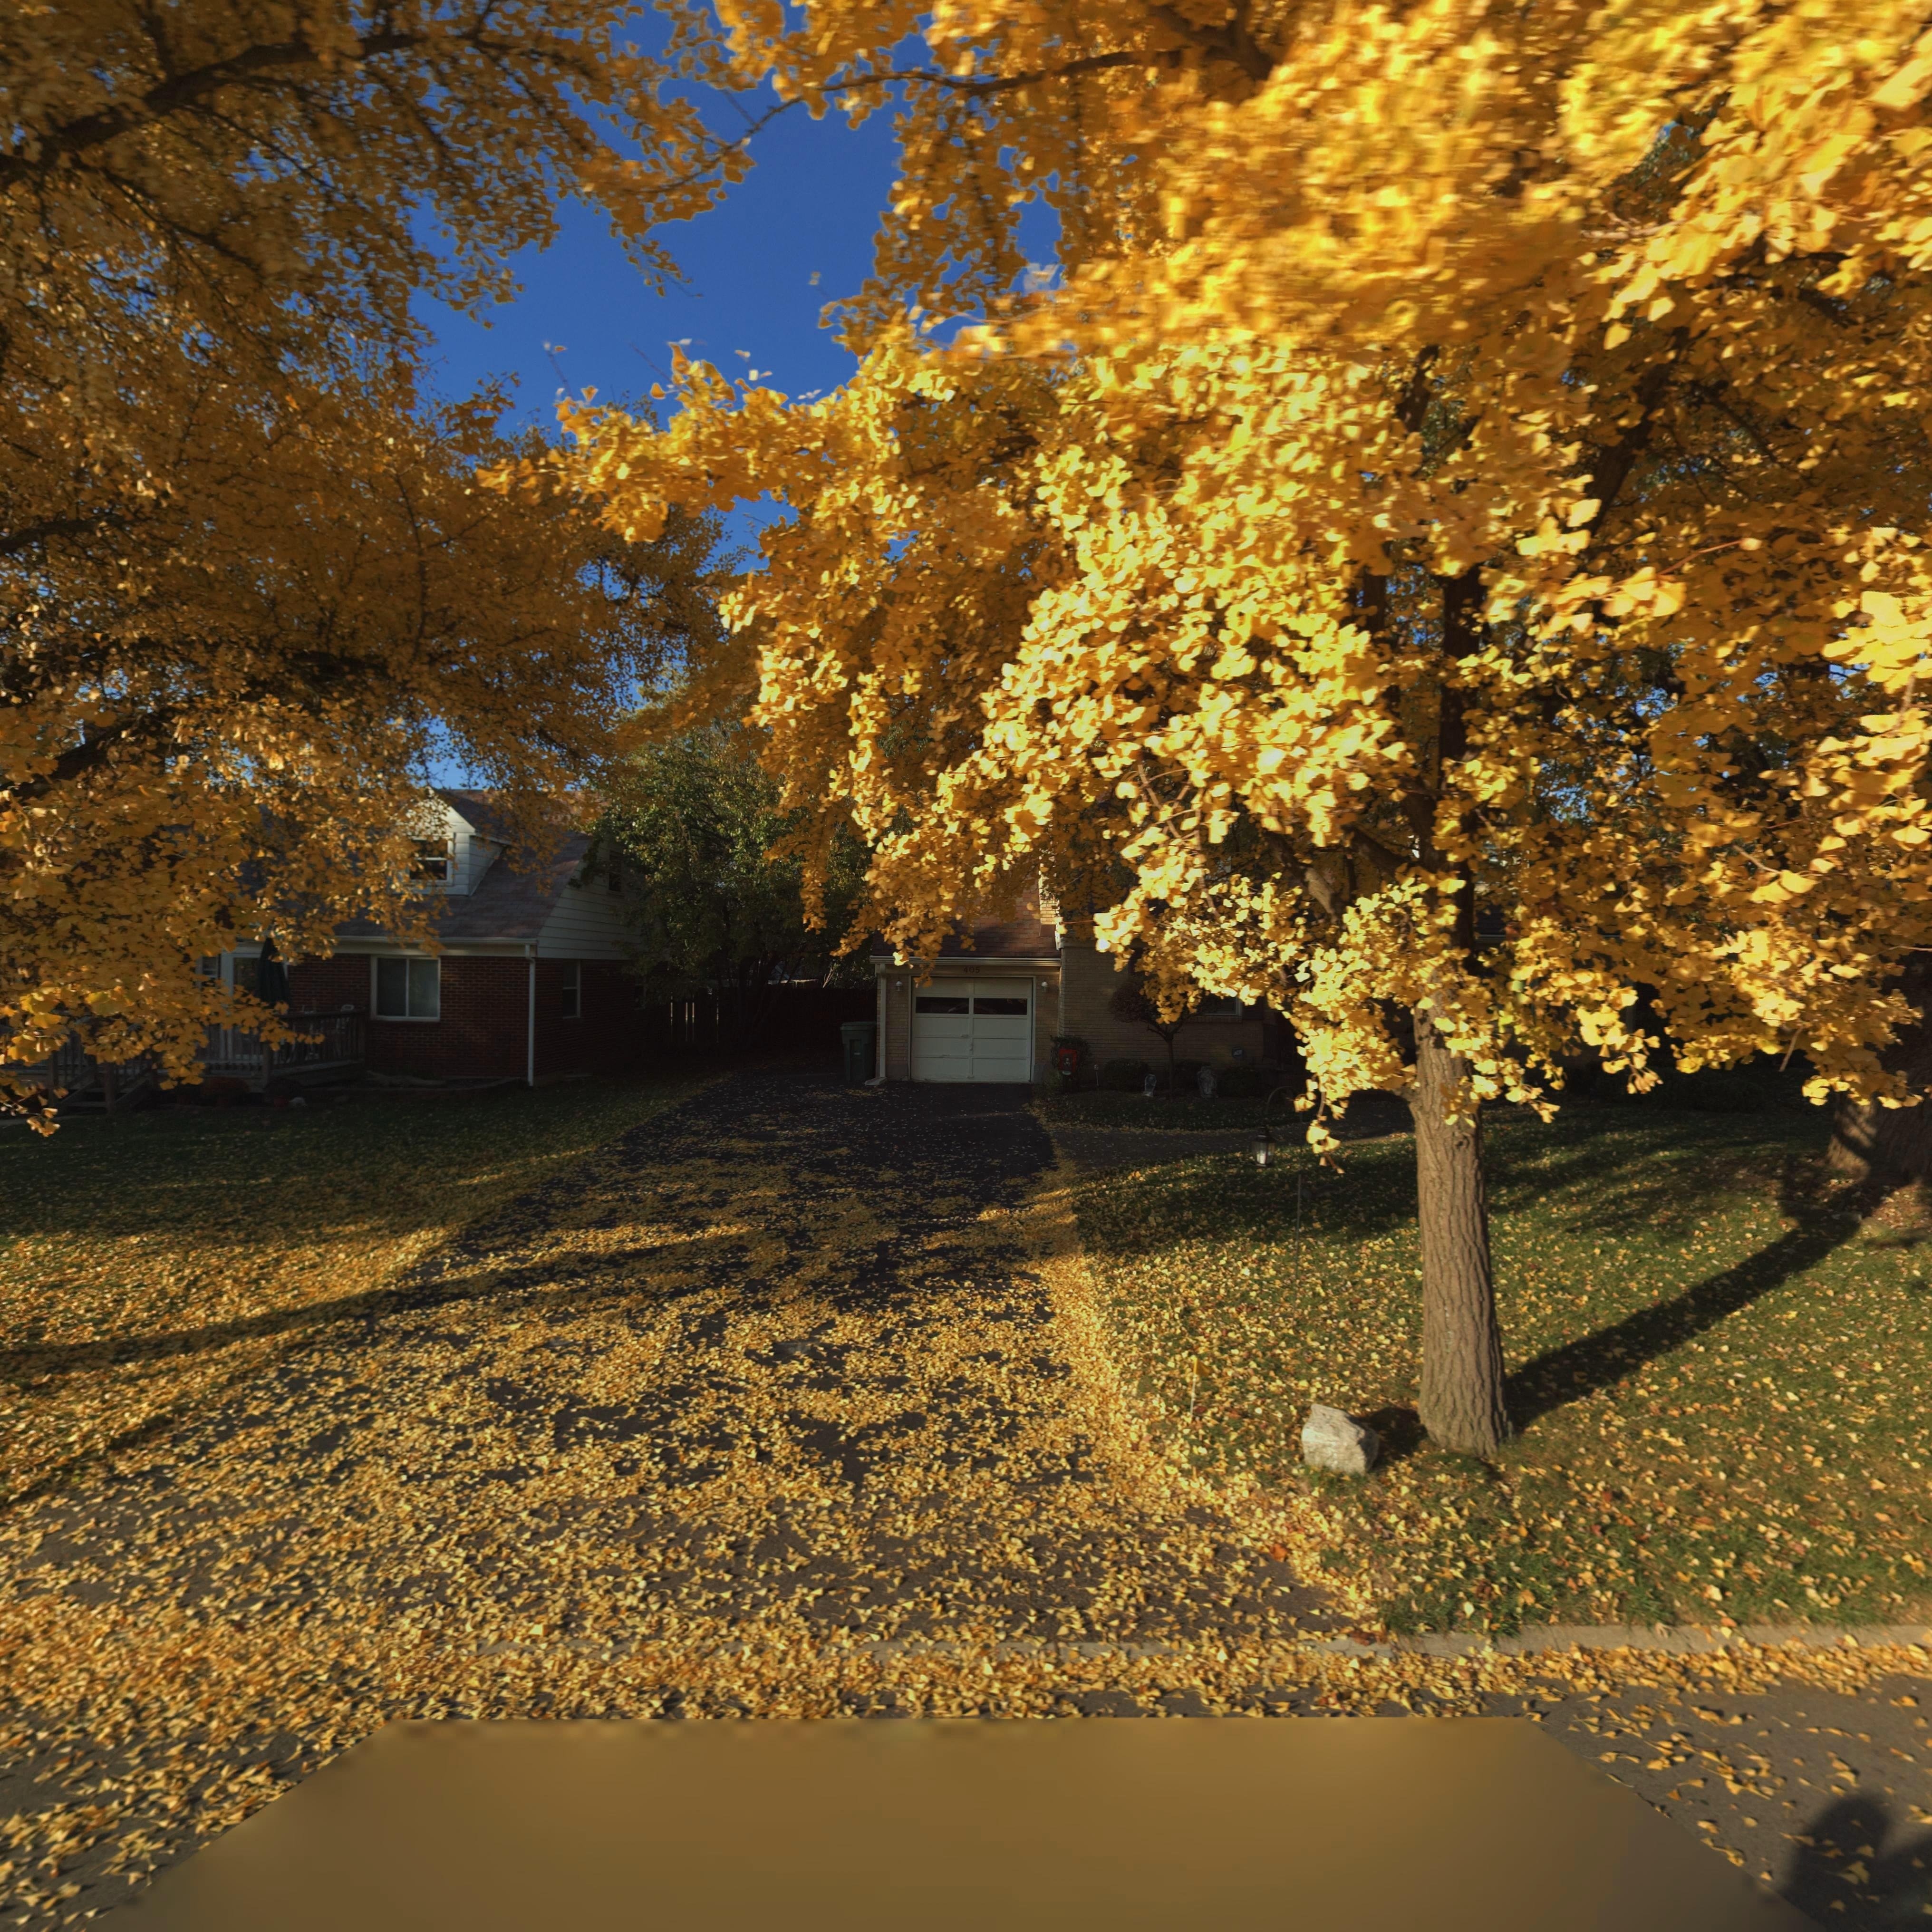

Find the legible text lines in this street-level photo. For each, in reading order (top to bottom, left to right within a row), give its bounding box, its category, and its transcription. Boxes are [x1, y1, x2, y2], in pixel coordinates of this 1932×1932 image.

[963, 966, 980, 974] StreetNumber: 405